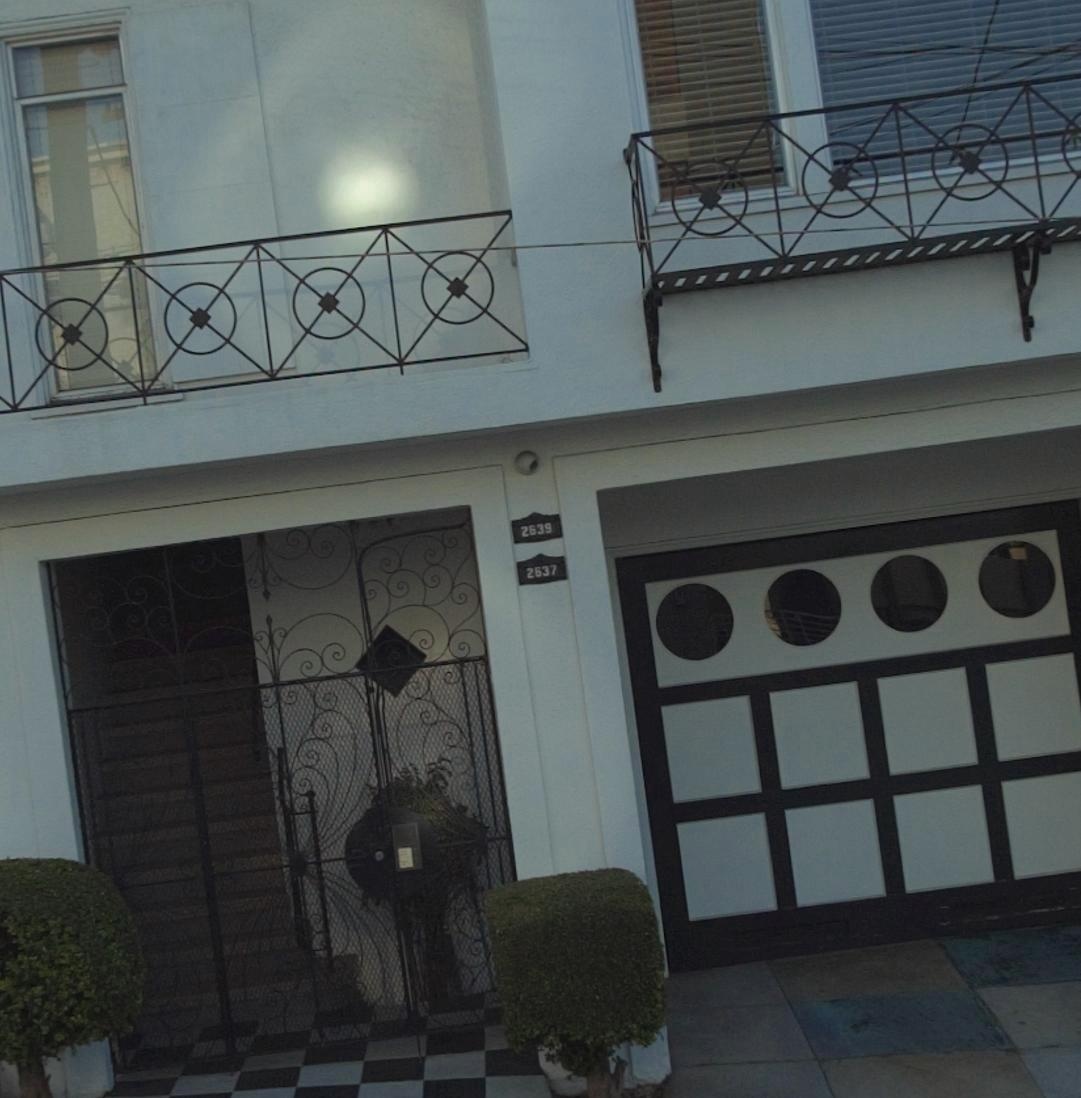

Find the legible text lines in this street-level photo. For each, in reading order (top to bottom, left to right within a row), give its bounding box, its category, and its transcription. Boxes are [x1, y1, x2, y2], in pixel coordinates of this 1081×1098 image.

[518, 520, 553, 540] StreetNumber: 2639
[524, 562, 558, 581] StreetNumber: 2637